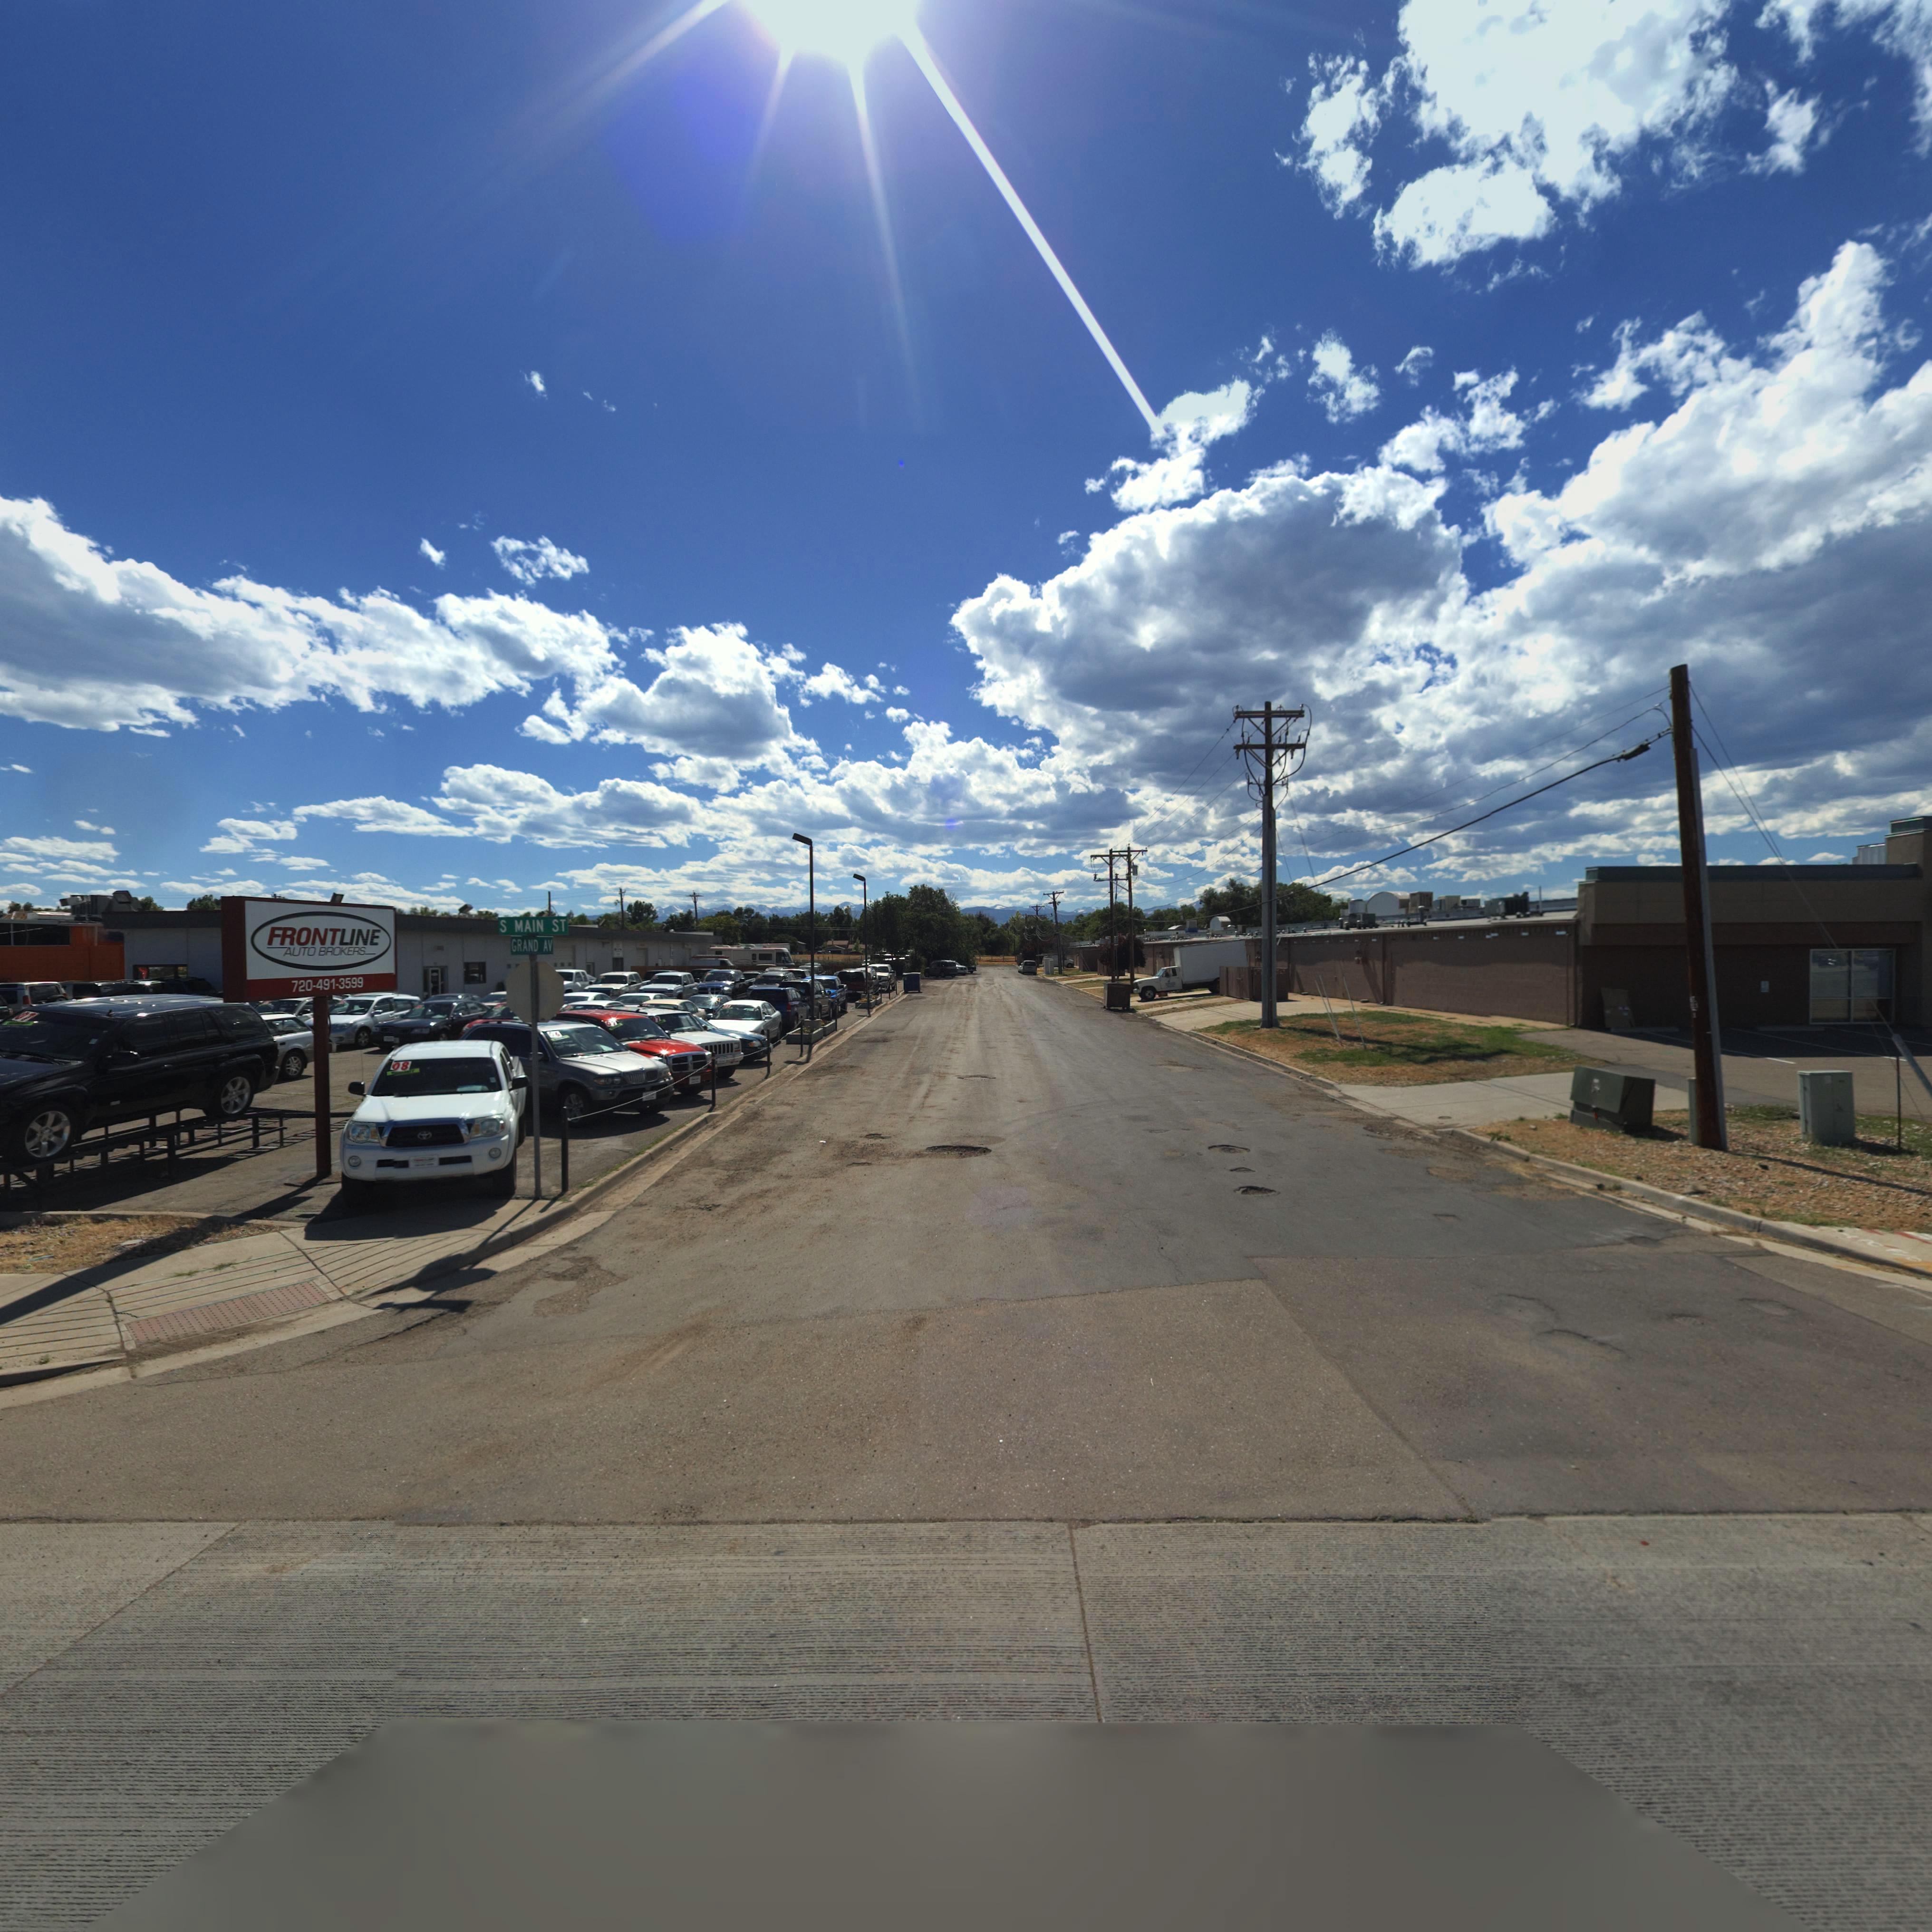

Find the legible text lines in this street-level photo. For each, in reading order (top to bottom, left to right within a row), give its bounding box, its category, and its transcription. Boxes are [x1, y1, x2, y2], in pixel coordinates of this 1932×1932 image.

[499, 918, 566, 933] StreetName: S MAIN ST
[266, 925, 382, 947] BusinessName: FRONTLINE
[282, 946, 367, 957] BusinessName: AUTO BROKERS
[511, 938, 553, 952] StreetName: GRAND AV